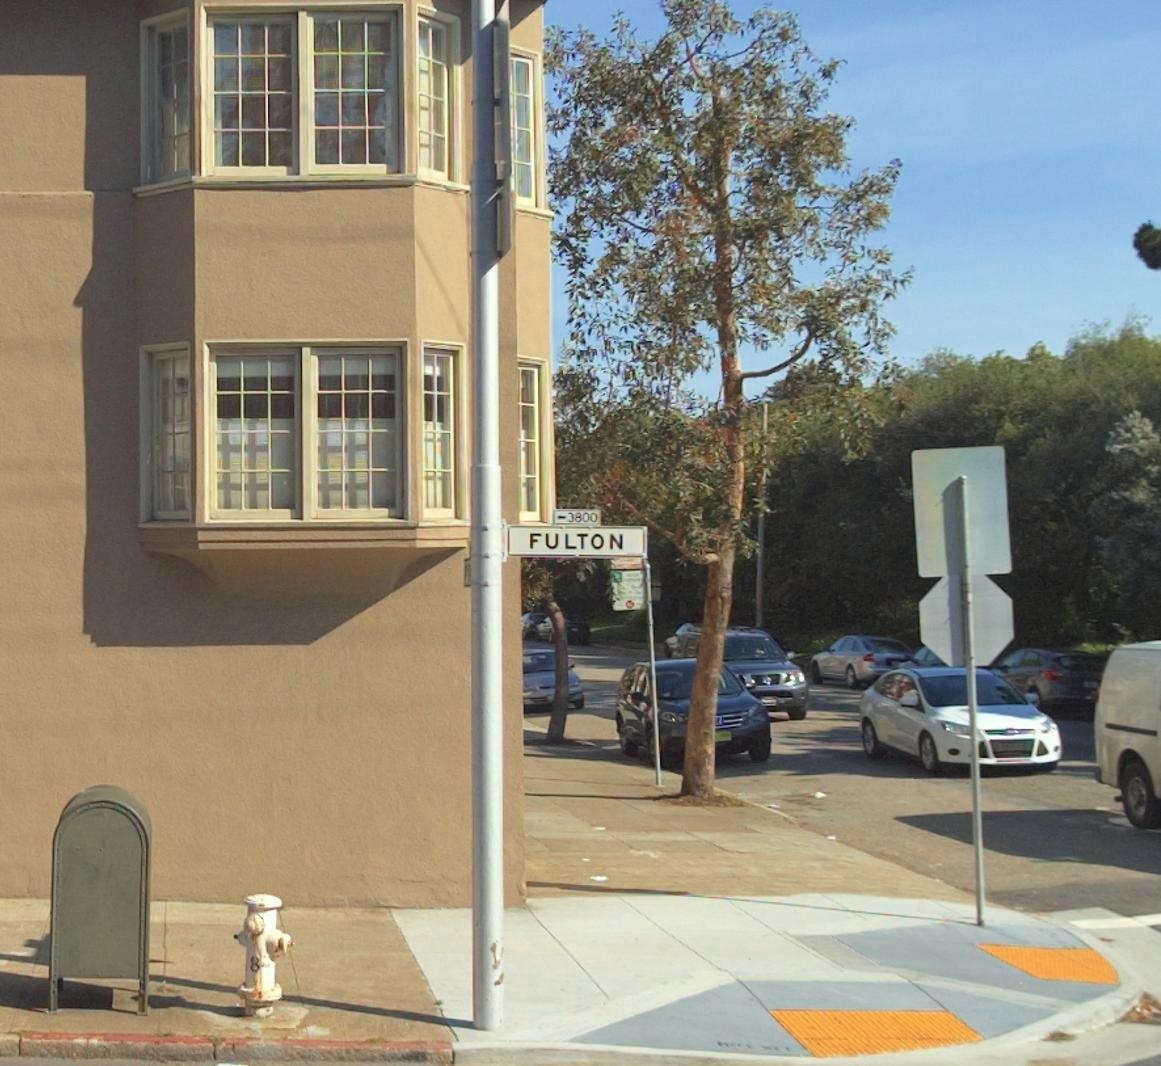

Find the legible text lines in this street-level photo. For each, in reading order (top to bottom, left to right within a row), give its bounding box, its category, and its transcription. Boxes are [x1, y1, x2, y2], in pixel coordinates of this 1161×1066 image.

[552, 509, 598, 524] StreetNumberRange: <-3800
[528, 530, 625, 551] StreetName: FULTON